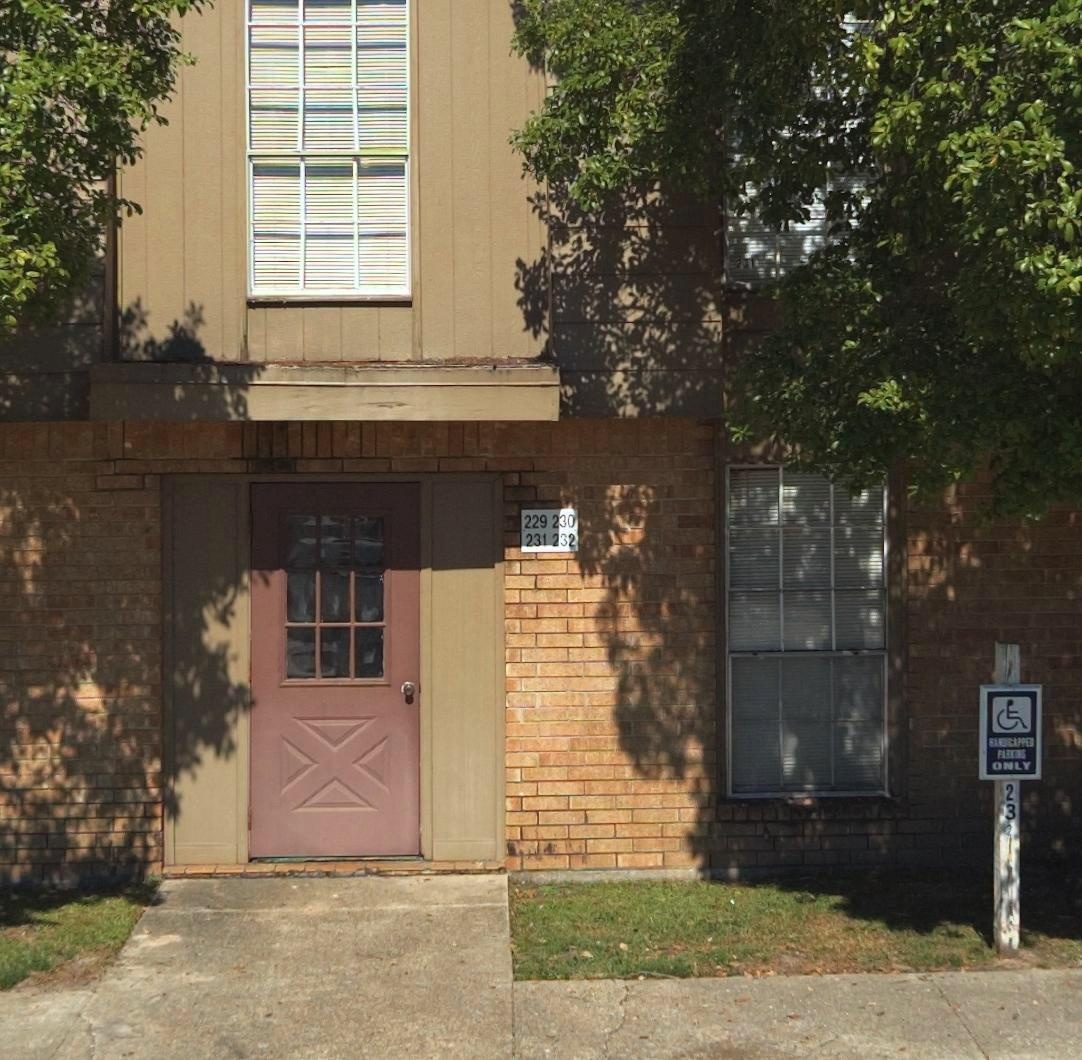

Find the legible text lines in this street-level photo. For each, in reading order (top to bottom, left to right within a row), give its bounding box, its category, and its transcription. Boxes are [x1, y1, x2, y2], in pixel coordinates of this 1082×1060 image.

[522, 512, 550, 531] StreetNumber: 229
[550, 512, 577, 531] StreetNumber: 230
[522, 531, 550, 549] StreetNumber: 231
[550, 531, 577, 549] StreetNumber: 232
[990, 759, 1033, 772] None: ONLY
[1003, 782, 1017, 822] None: 23